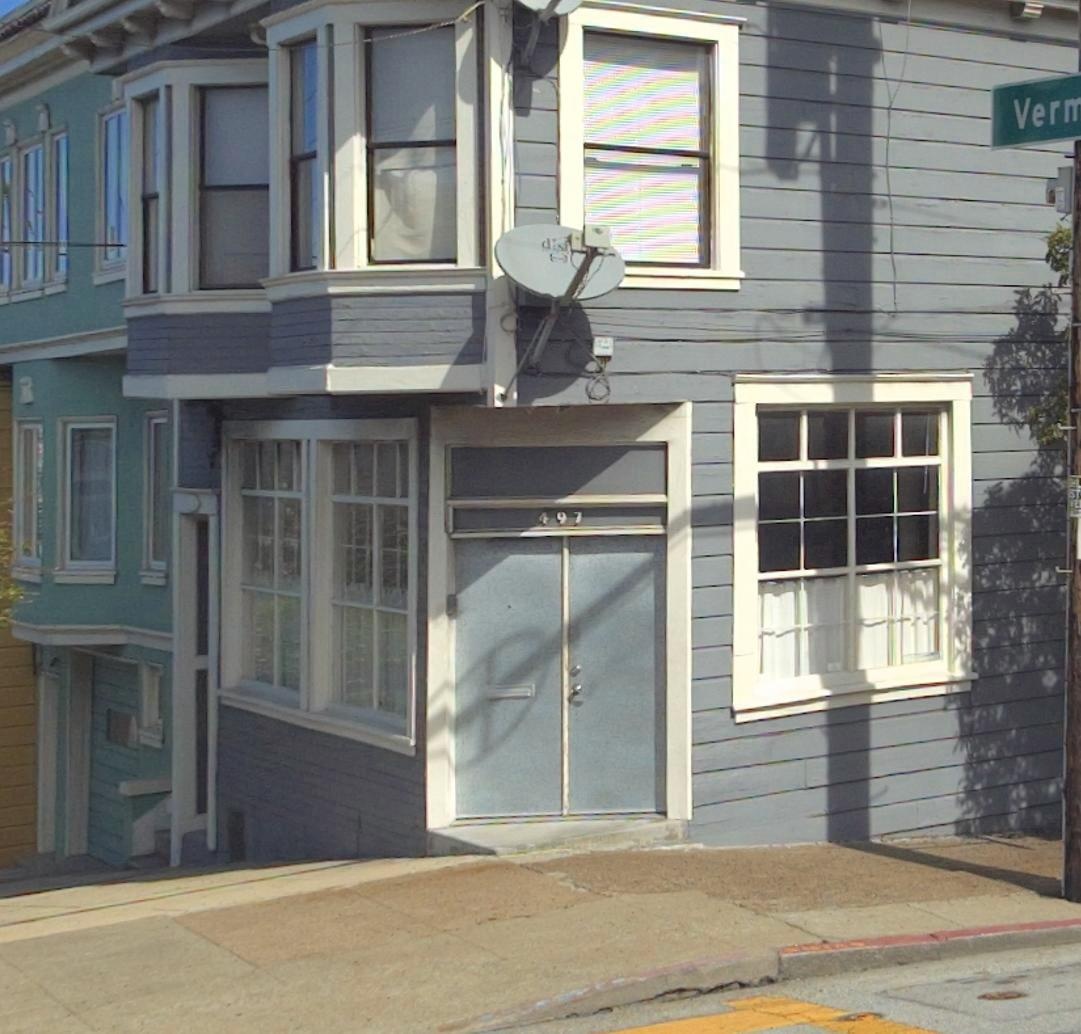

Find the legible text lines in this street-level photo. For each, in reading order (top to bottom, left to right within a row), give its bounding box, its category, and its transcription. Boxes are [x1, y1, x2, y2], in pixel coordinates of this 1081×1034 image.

[1010, 96, 1062, 131] StreetName: Ver
[1068, 488, 1080, 499] None: ST
[537, 510, 584, 525] StreetNumber: 497